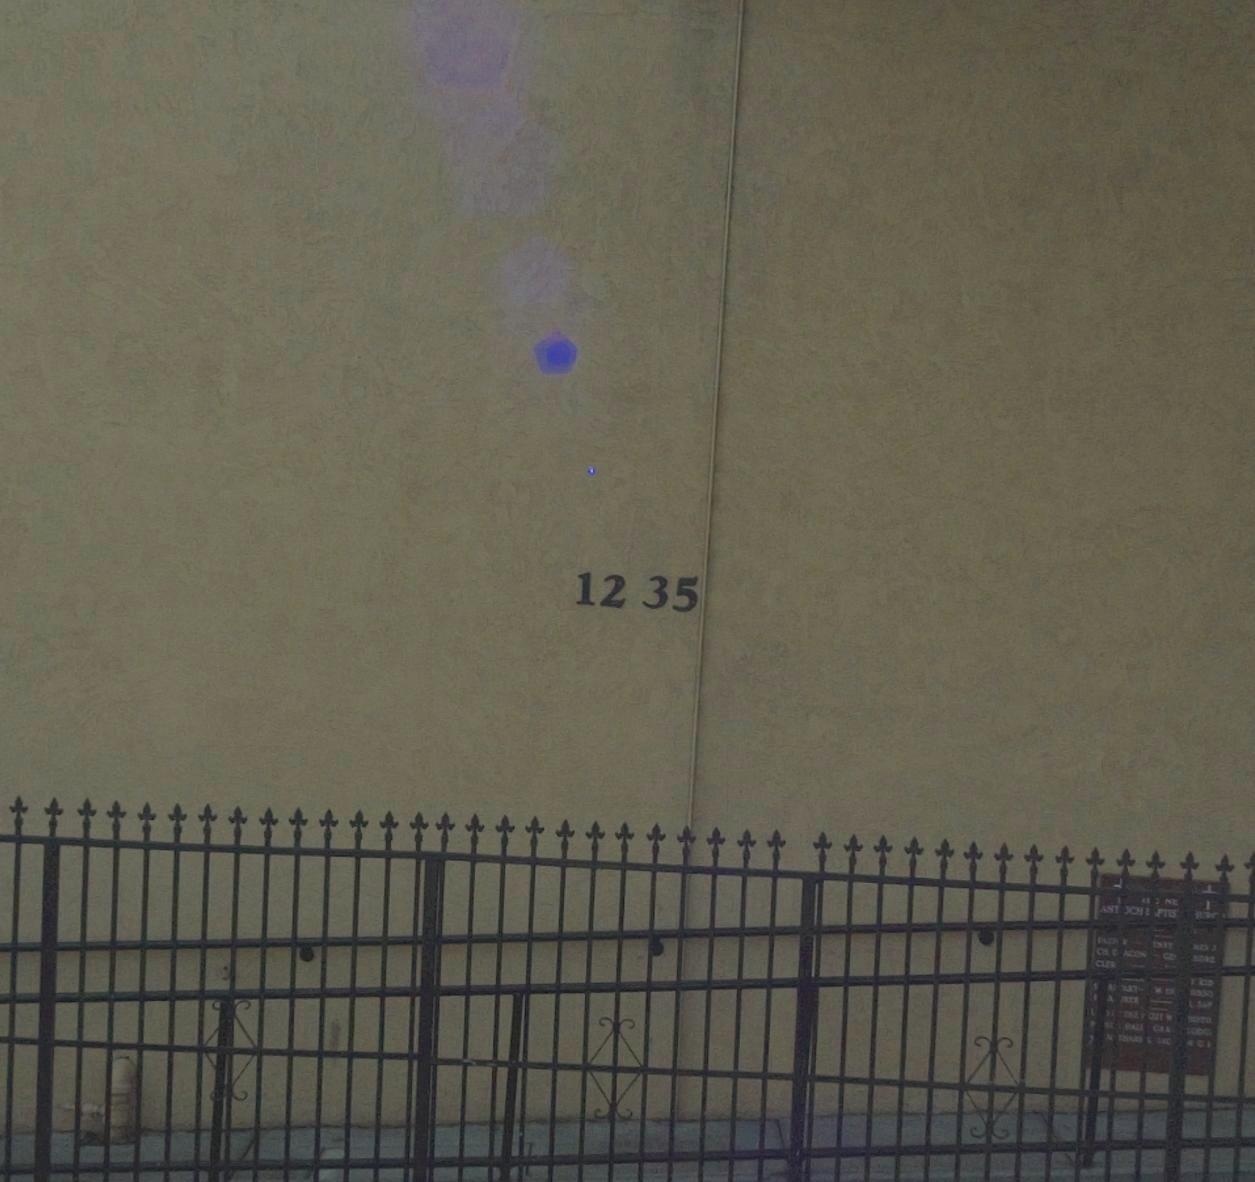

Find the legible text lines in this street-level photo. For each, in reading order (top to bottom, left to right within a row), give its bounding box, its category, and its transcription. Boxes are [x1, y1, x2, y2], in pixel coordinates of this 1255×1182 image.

[573, 568, 702, 616] StreetNumber: 1235